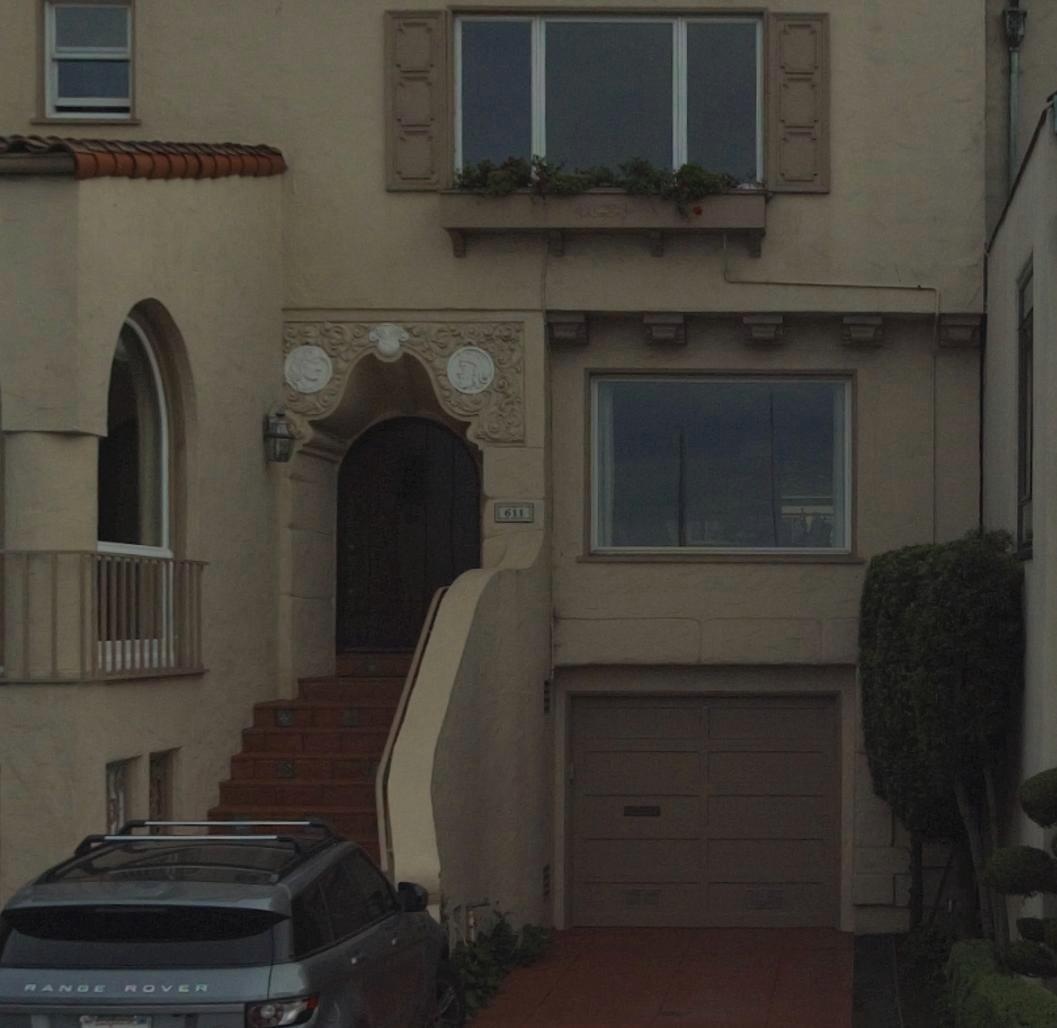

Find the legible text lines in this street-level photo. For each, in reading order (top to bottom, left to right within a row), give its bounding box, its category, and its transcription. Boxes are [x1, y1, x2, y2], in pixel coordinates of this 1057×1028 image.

[502, 507, 526, 519] StreetNumber: 611
[16, 977, 214, 1000] None: RANGE ROVER